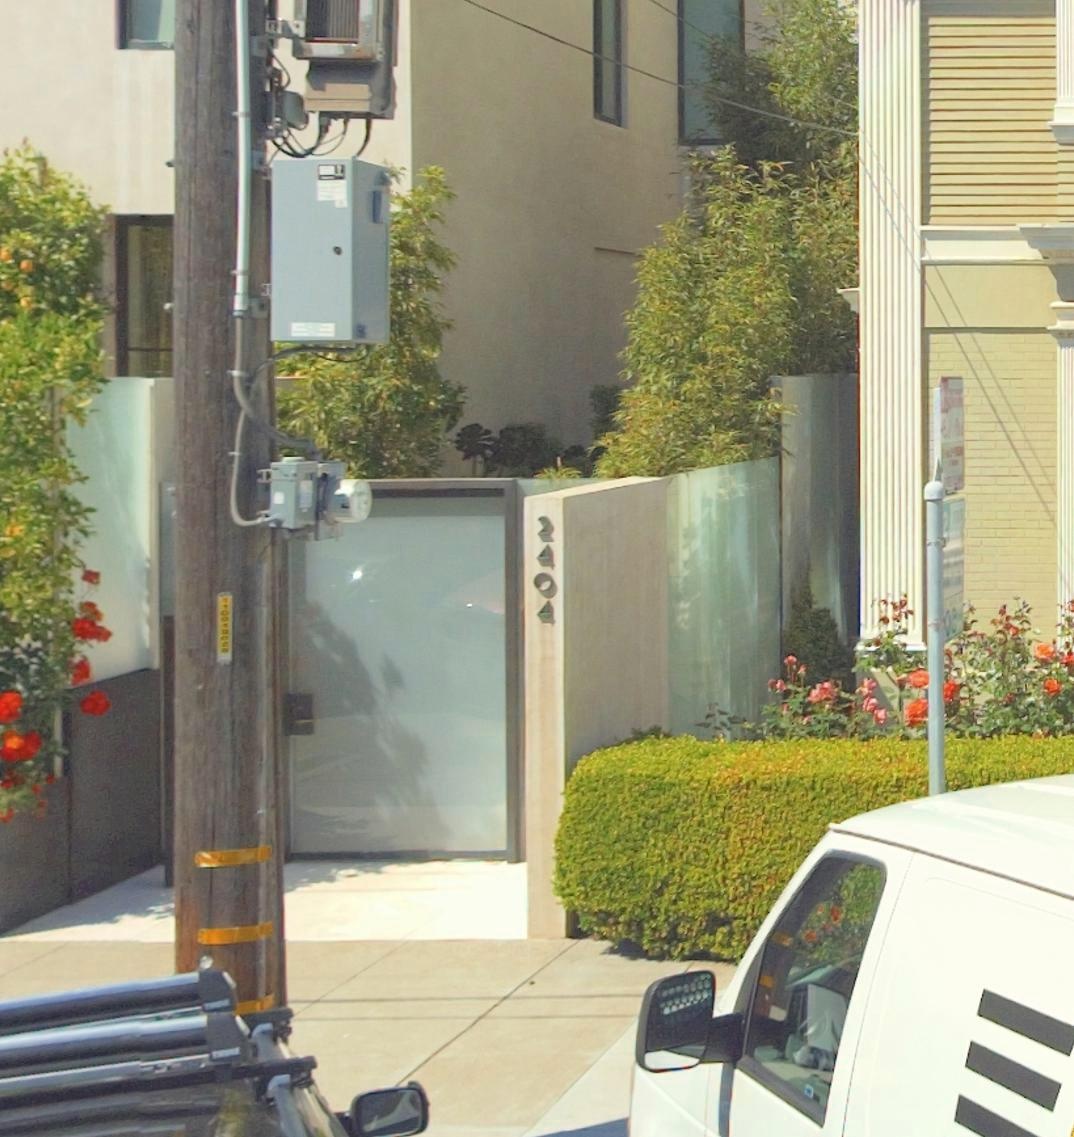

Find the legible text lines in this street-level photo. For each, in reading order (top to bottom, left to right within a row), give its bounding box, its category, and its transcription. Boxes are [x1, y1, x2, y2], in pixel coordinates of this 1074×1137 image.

[533, 515, 558, 626] StreetNumber: 2404